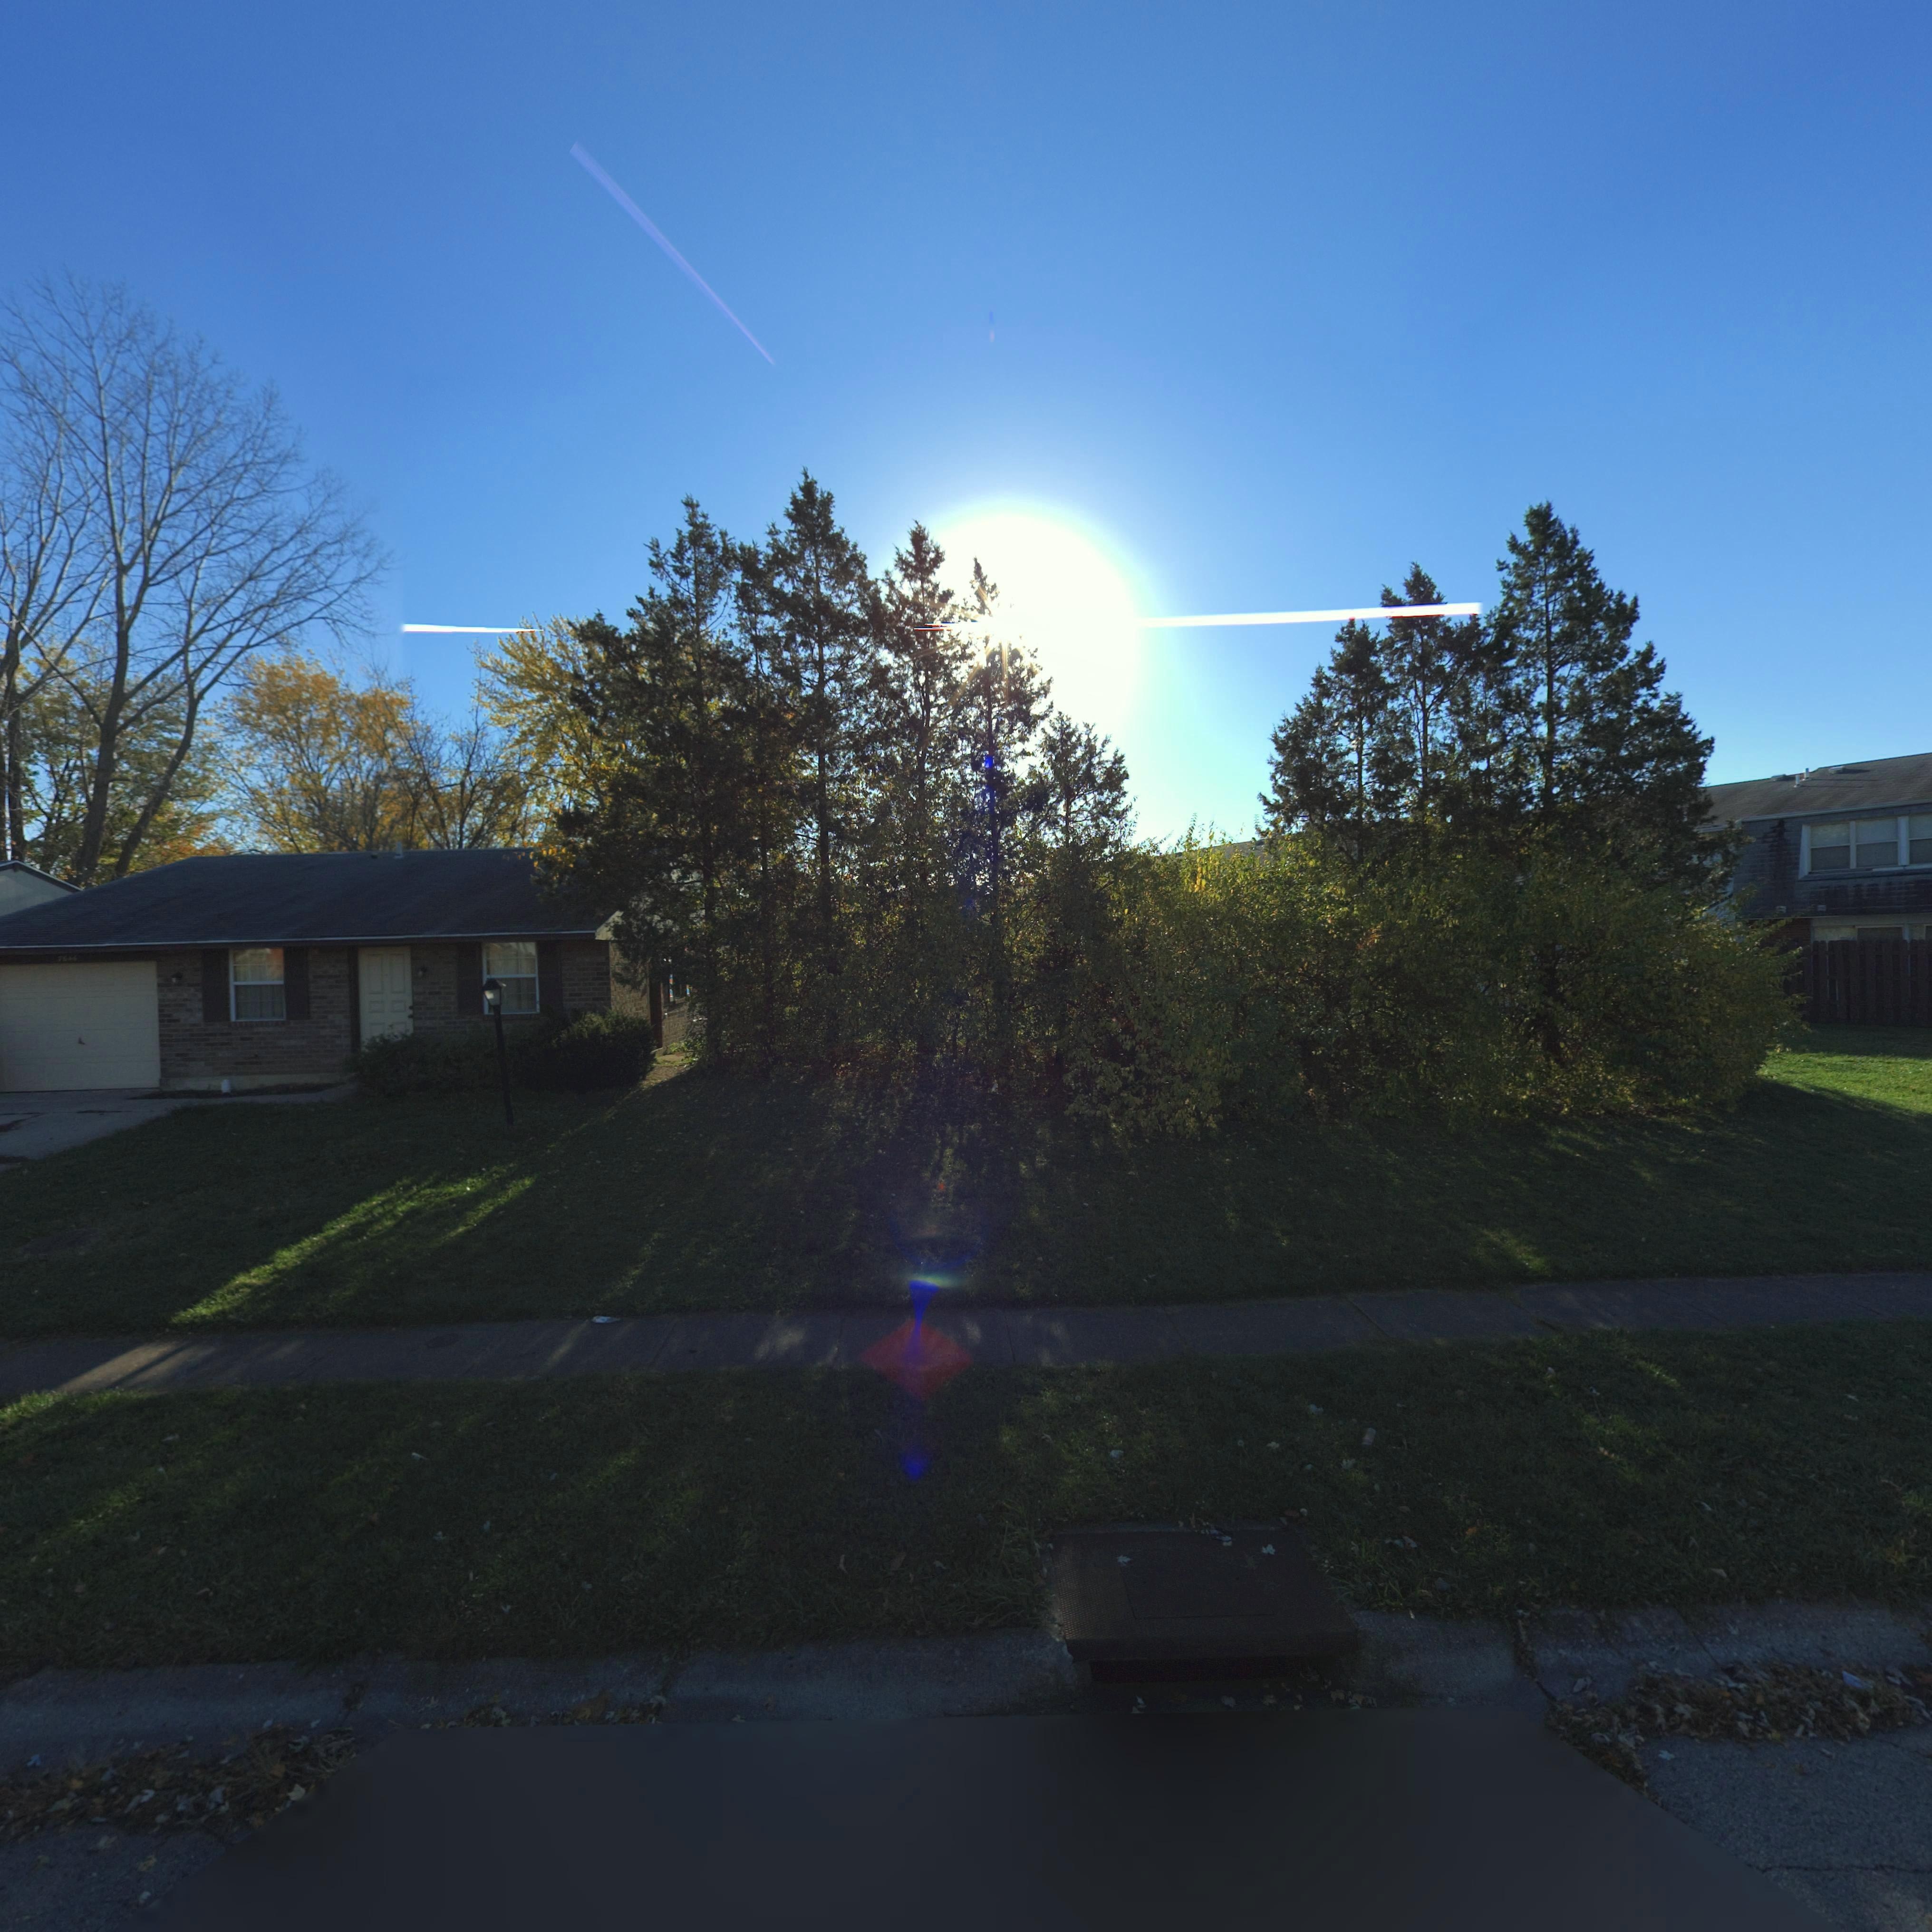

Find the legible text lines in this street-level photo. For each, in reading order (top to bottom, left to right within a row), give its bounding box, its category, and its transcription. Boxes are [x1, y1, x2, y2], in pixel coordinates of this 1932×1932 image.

[57, 955, 77, 963] StreetNumber: 7646